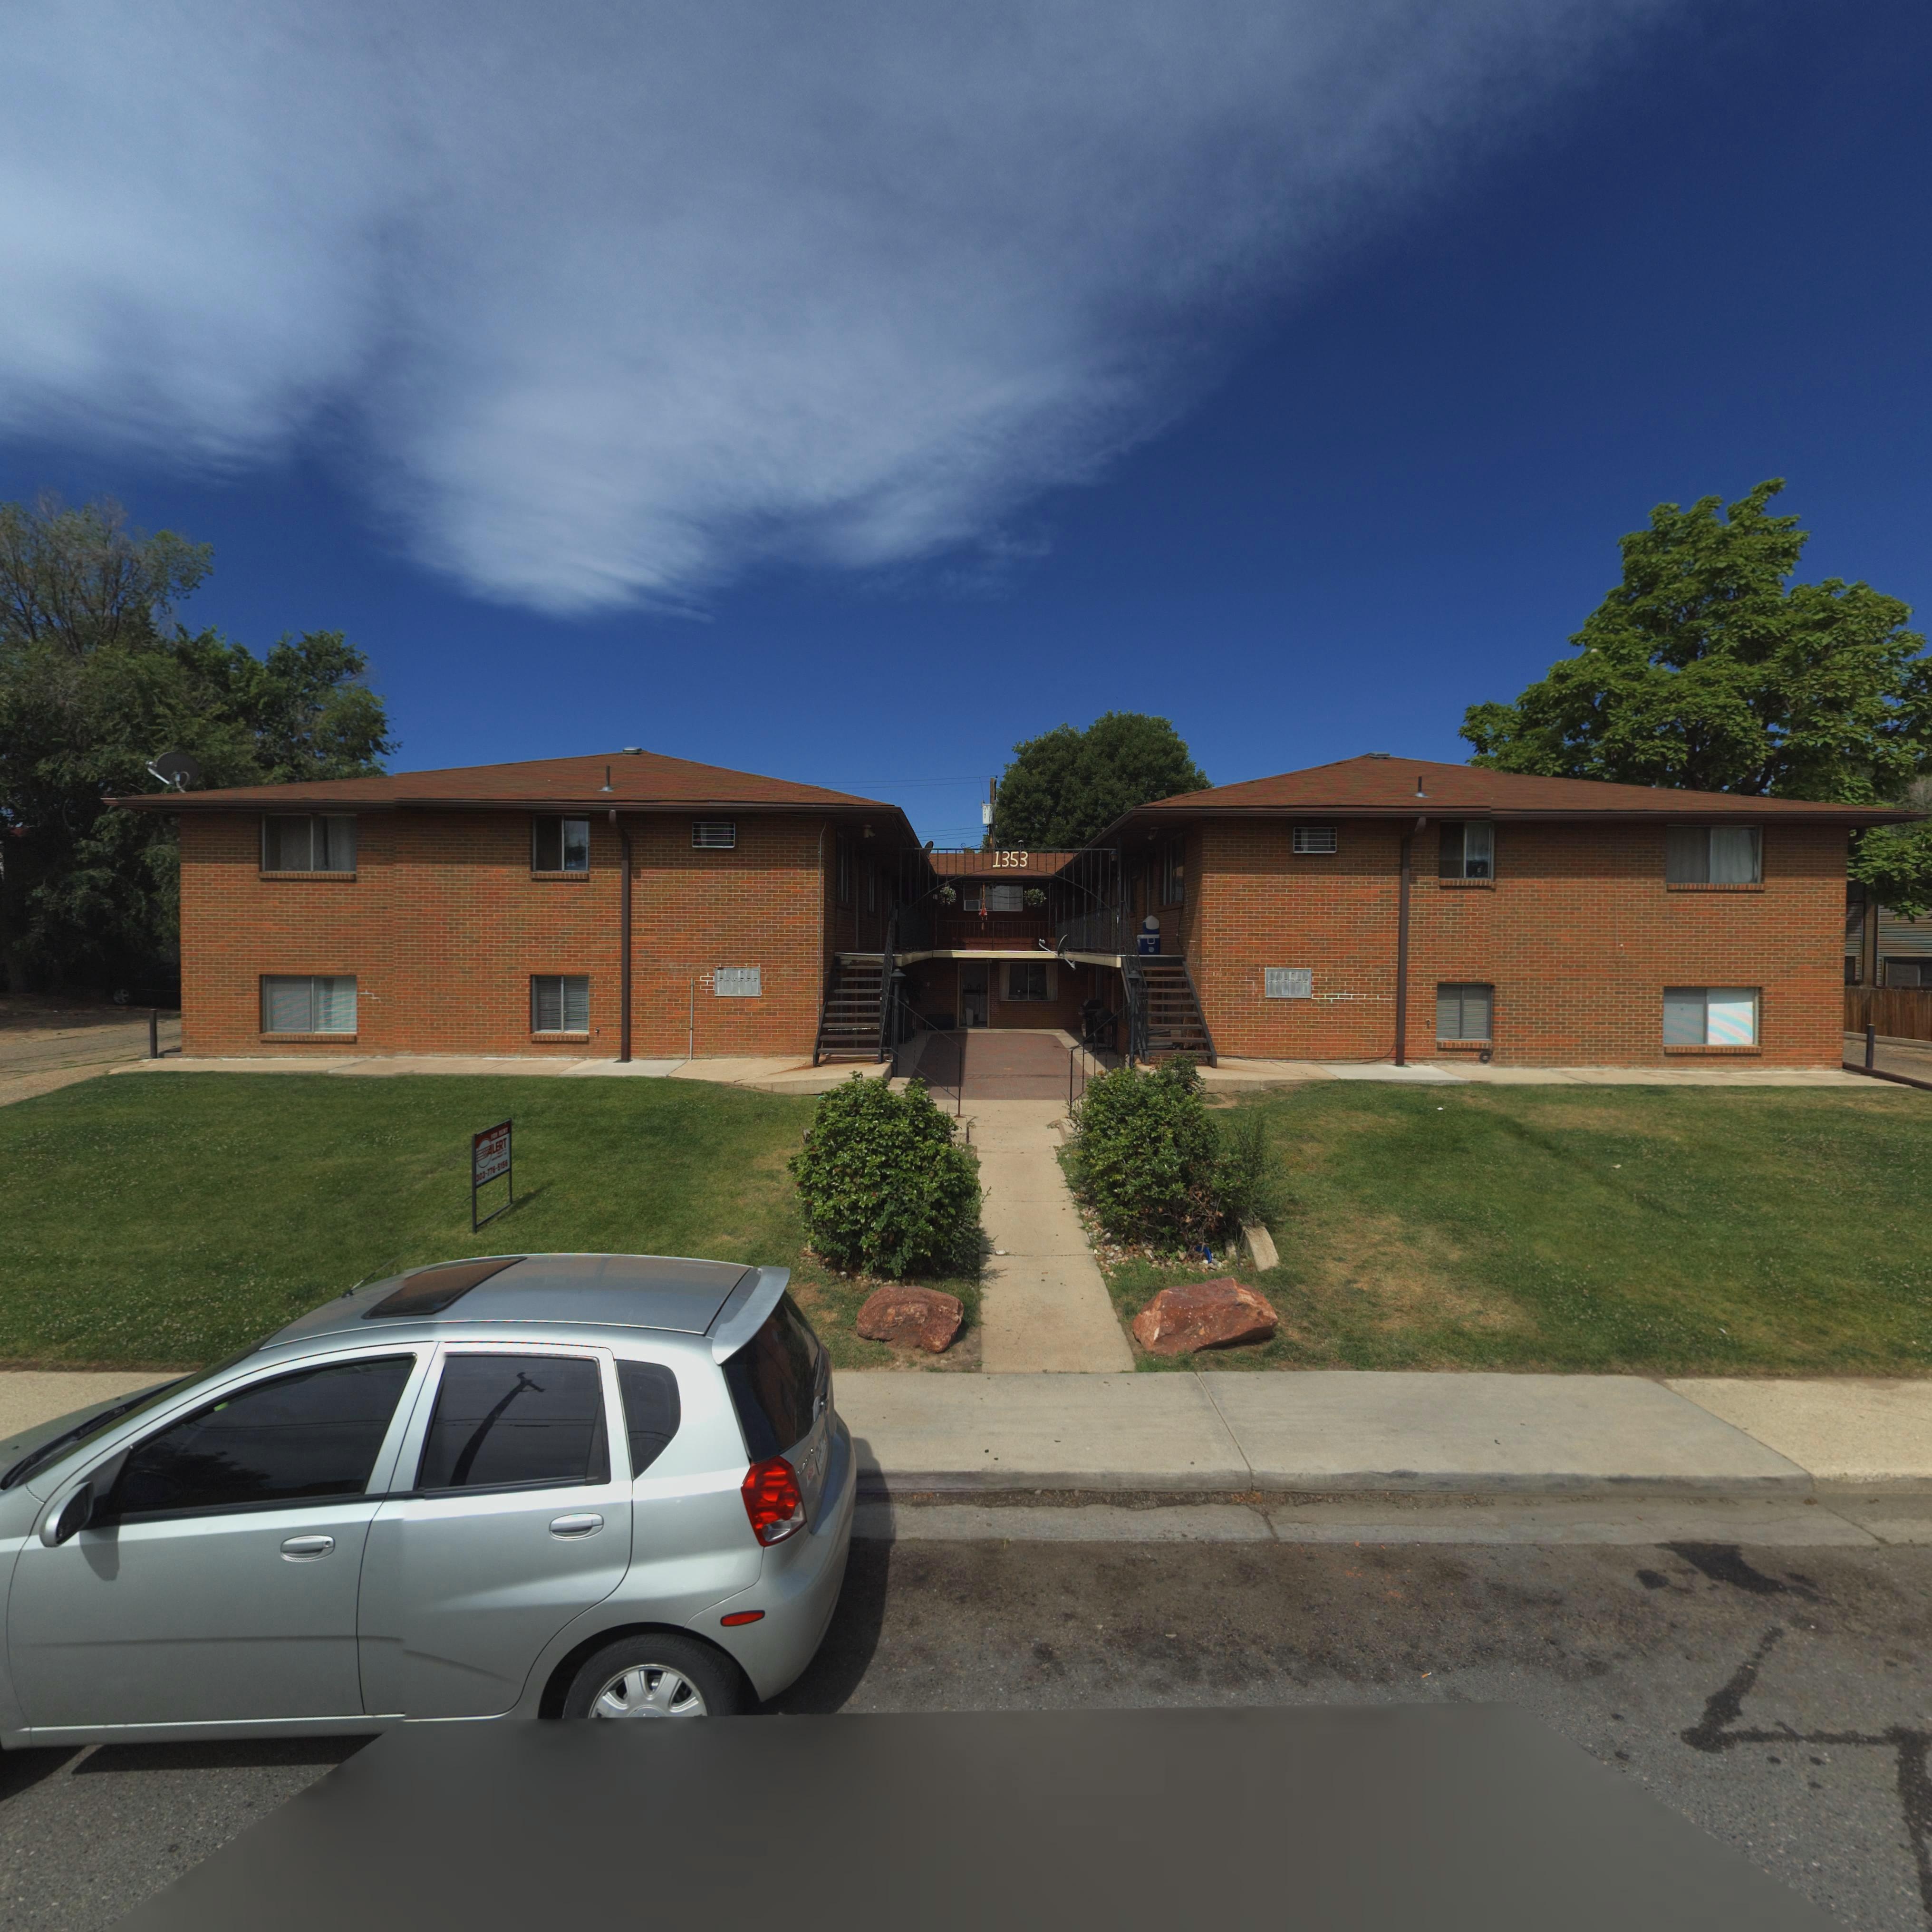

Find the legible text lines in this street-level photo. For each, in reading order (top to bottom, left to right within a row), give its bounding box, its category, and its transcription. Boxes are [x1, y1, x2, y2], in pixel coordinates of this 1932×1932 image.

[992, 850, 1029, 868] StreetNumber: 1353